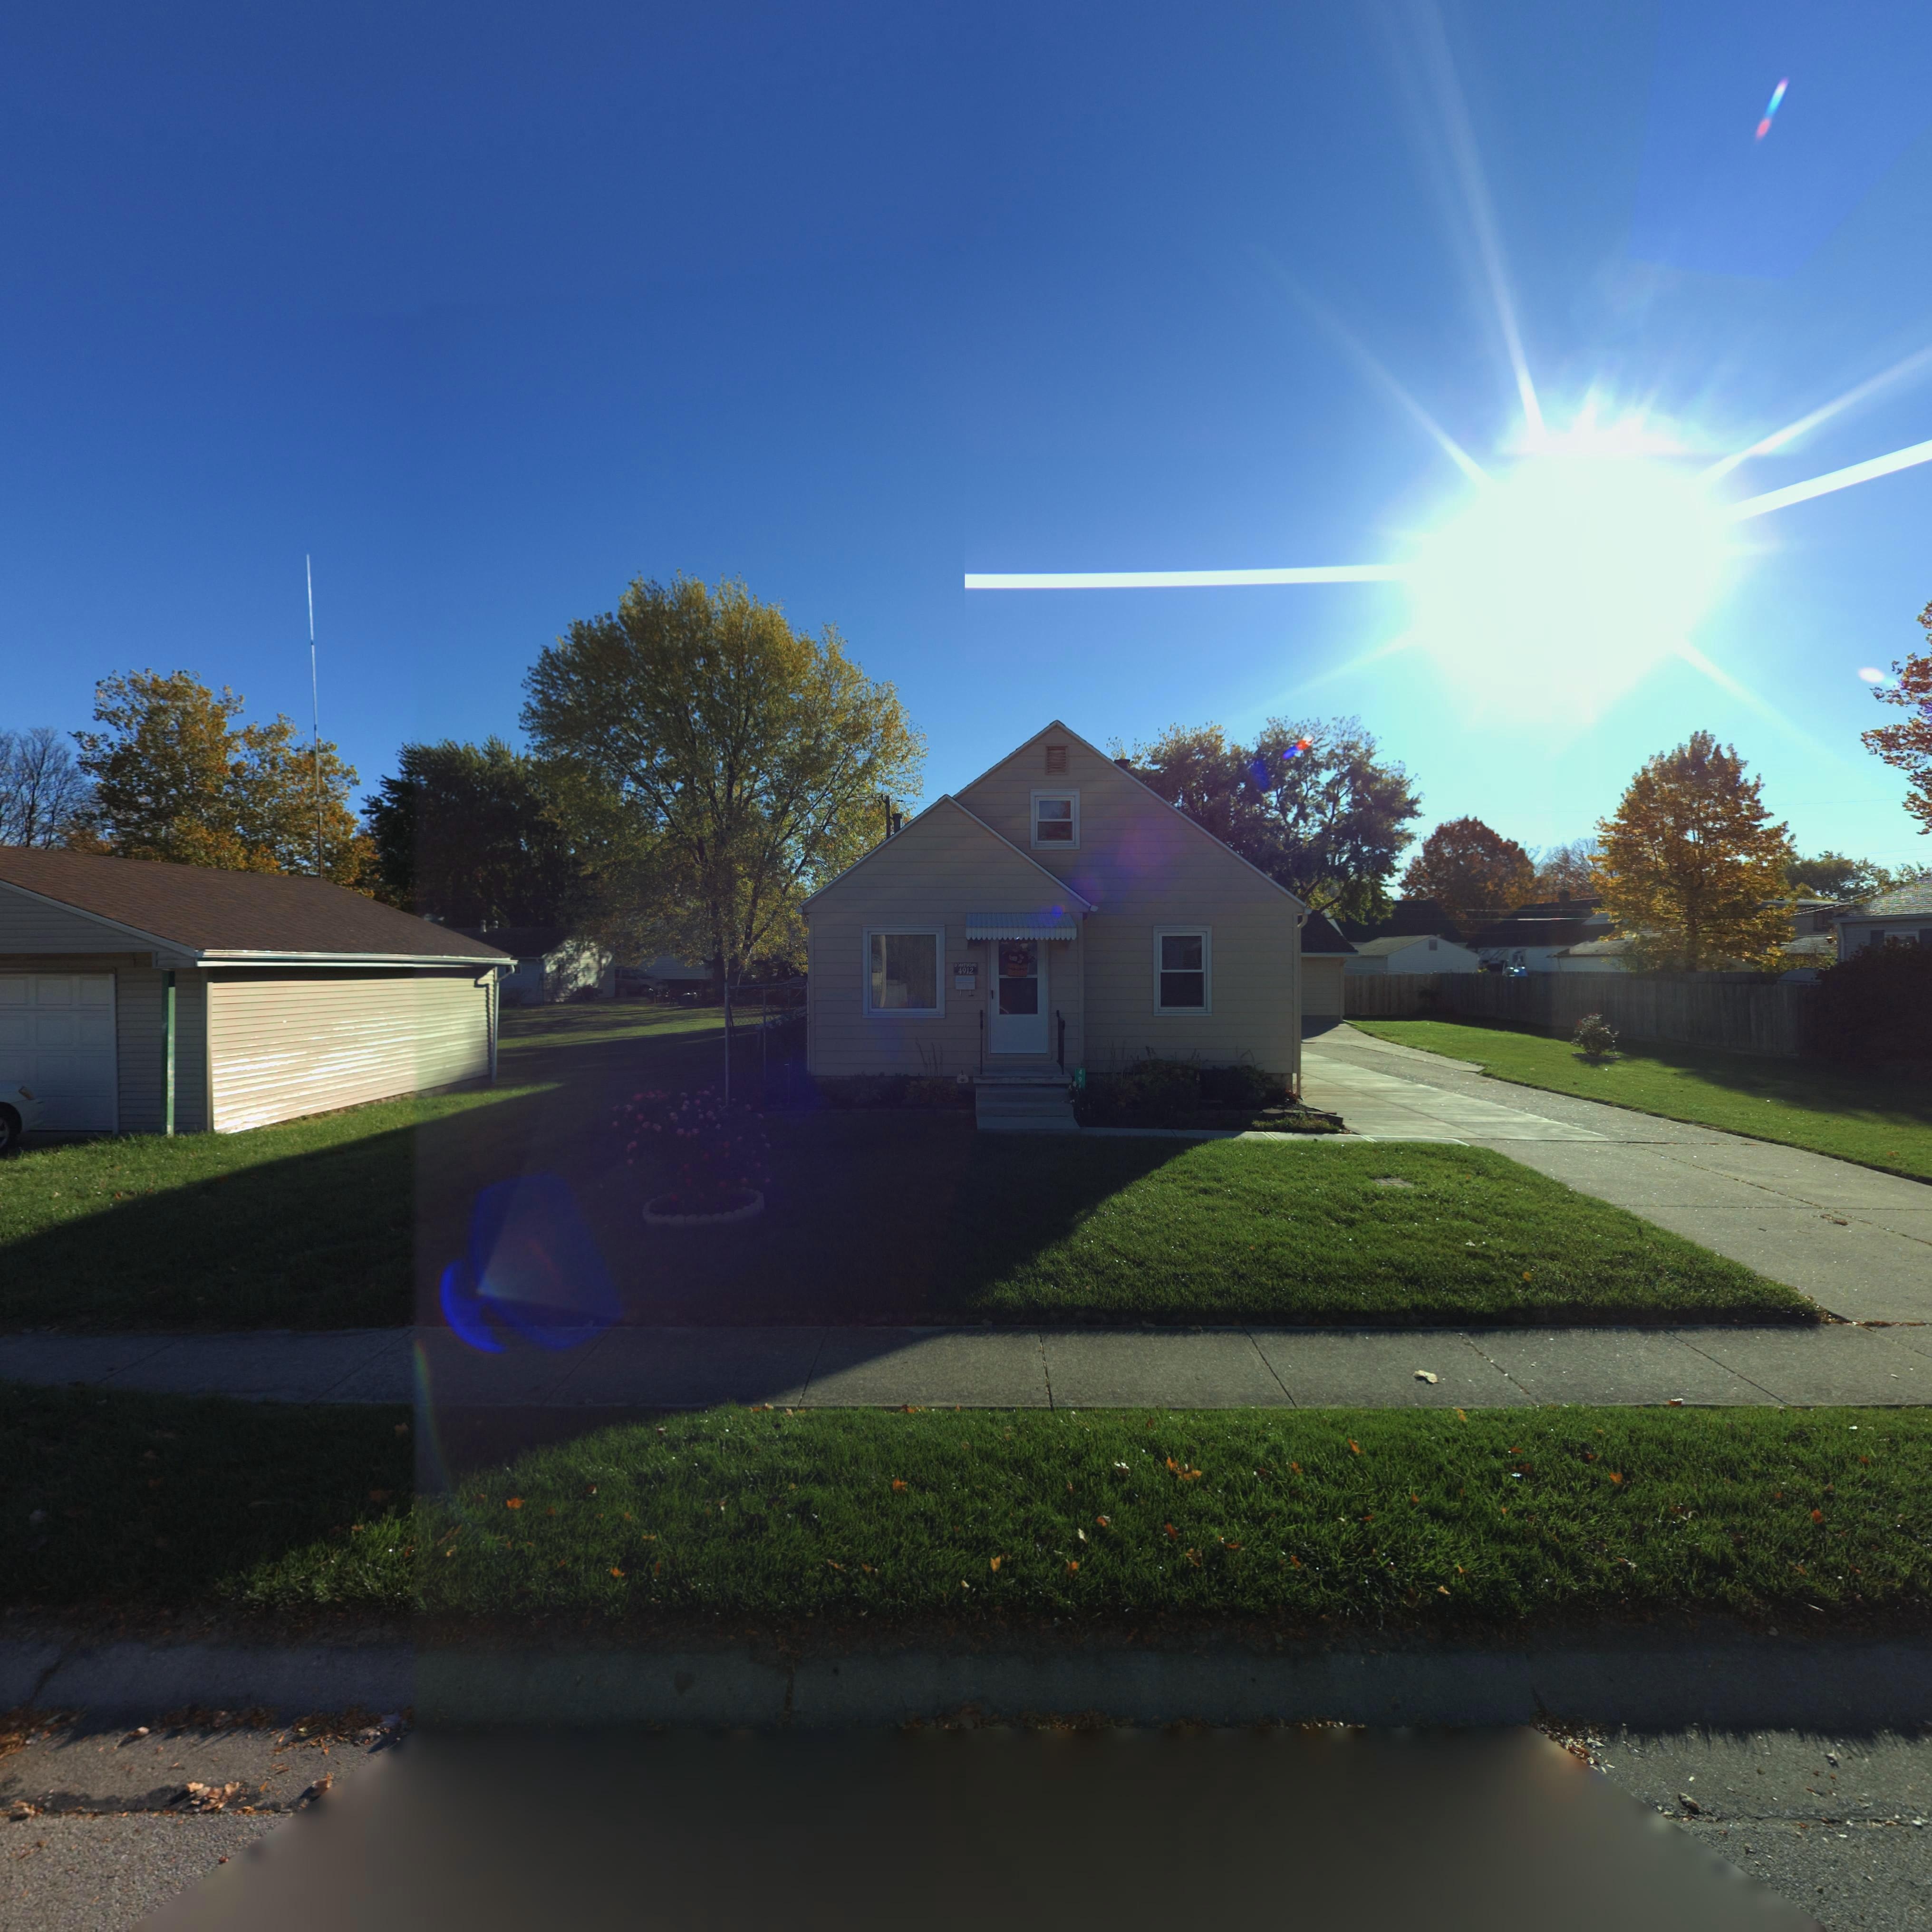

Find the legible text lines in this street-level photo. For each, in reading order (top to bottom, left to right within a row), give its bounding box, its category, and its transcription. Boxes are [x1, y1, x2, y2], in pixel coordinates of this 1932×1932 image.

[957, 966, 974, 975] StreetNumber: 4912